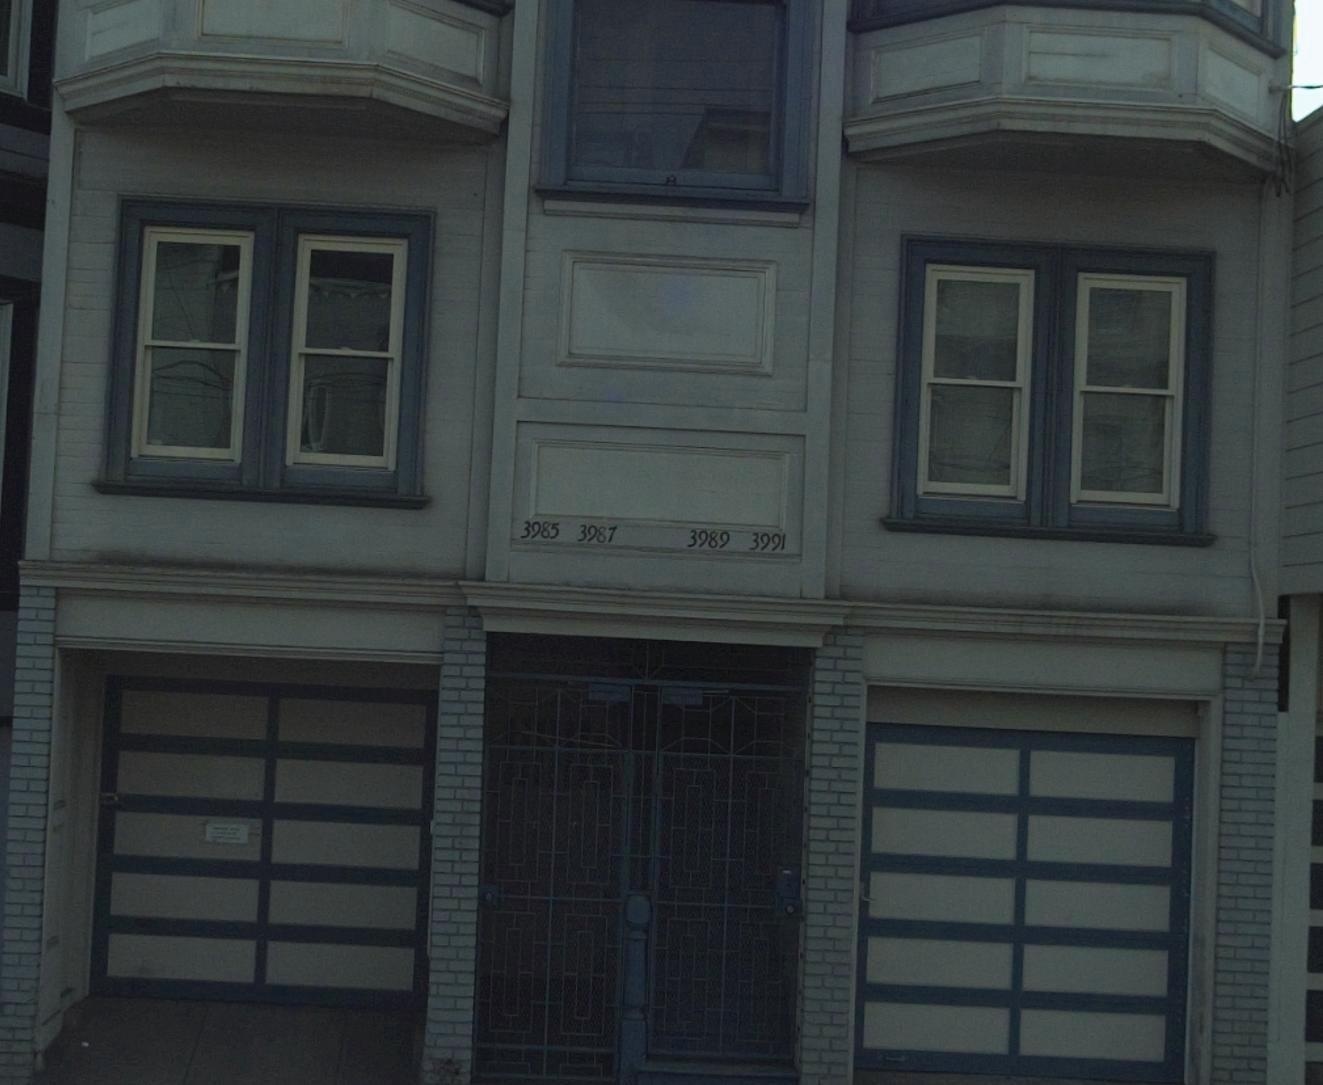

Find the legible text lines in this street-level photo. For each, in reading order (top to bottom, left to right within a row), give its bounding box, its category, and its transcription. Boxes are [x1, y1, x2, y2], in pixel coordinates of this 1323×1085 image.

[520, 519, 561, 540] StreetNumber: 3985
[575, 522, 620, 544] StreetNumber: 3987
[685, 529, 731, 550] StreetNumber: 3989
[747, 531, 787, 551] StreetNumber: 3991